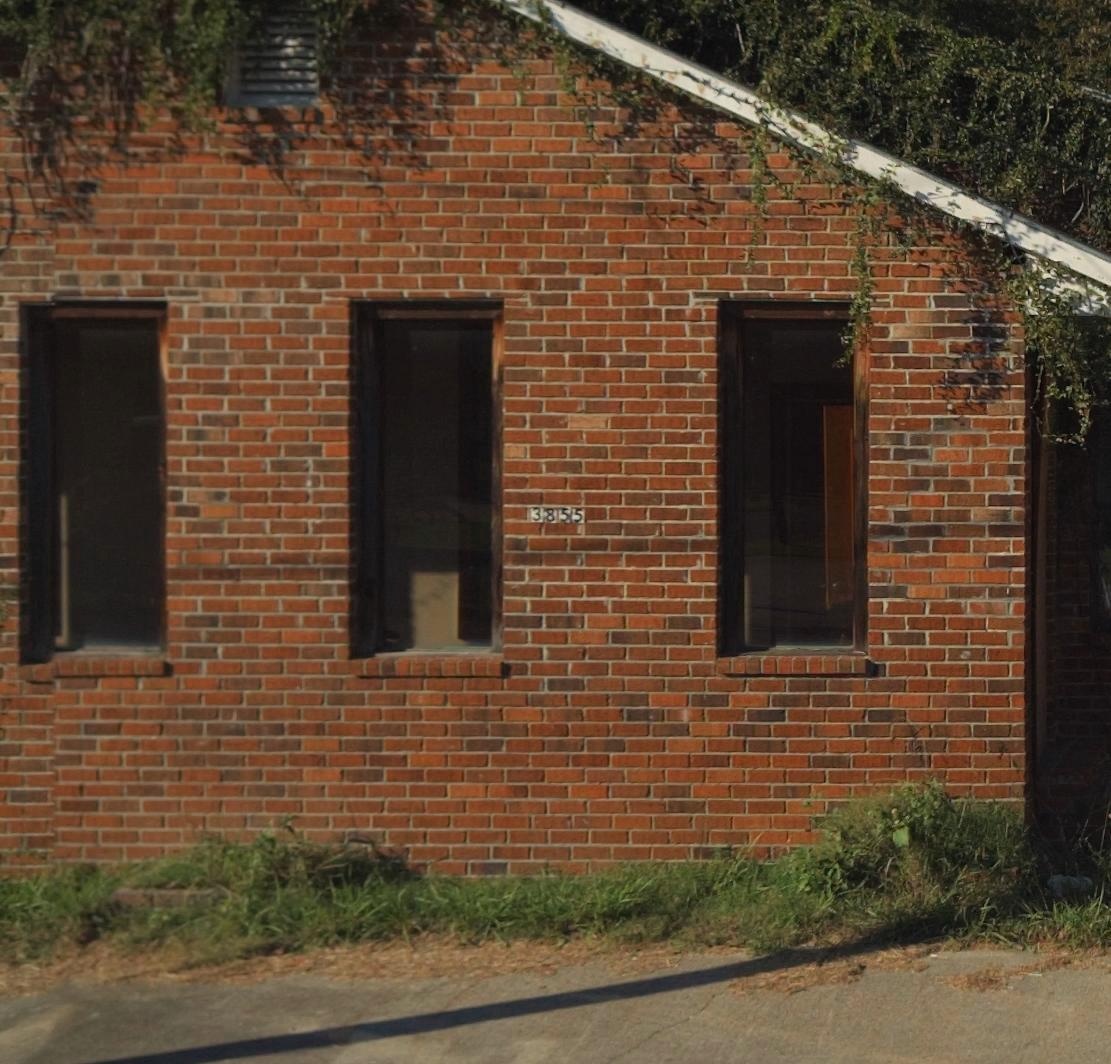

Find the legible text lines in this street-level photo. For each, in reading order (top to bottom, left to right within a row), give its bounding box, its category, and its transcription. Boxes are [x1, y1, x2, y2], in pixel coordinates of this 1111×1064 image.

[530, 506, 585, 524] StreetNumber: 3855